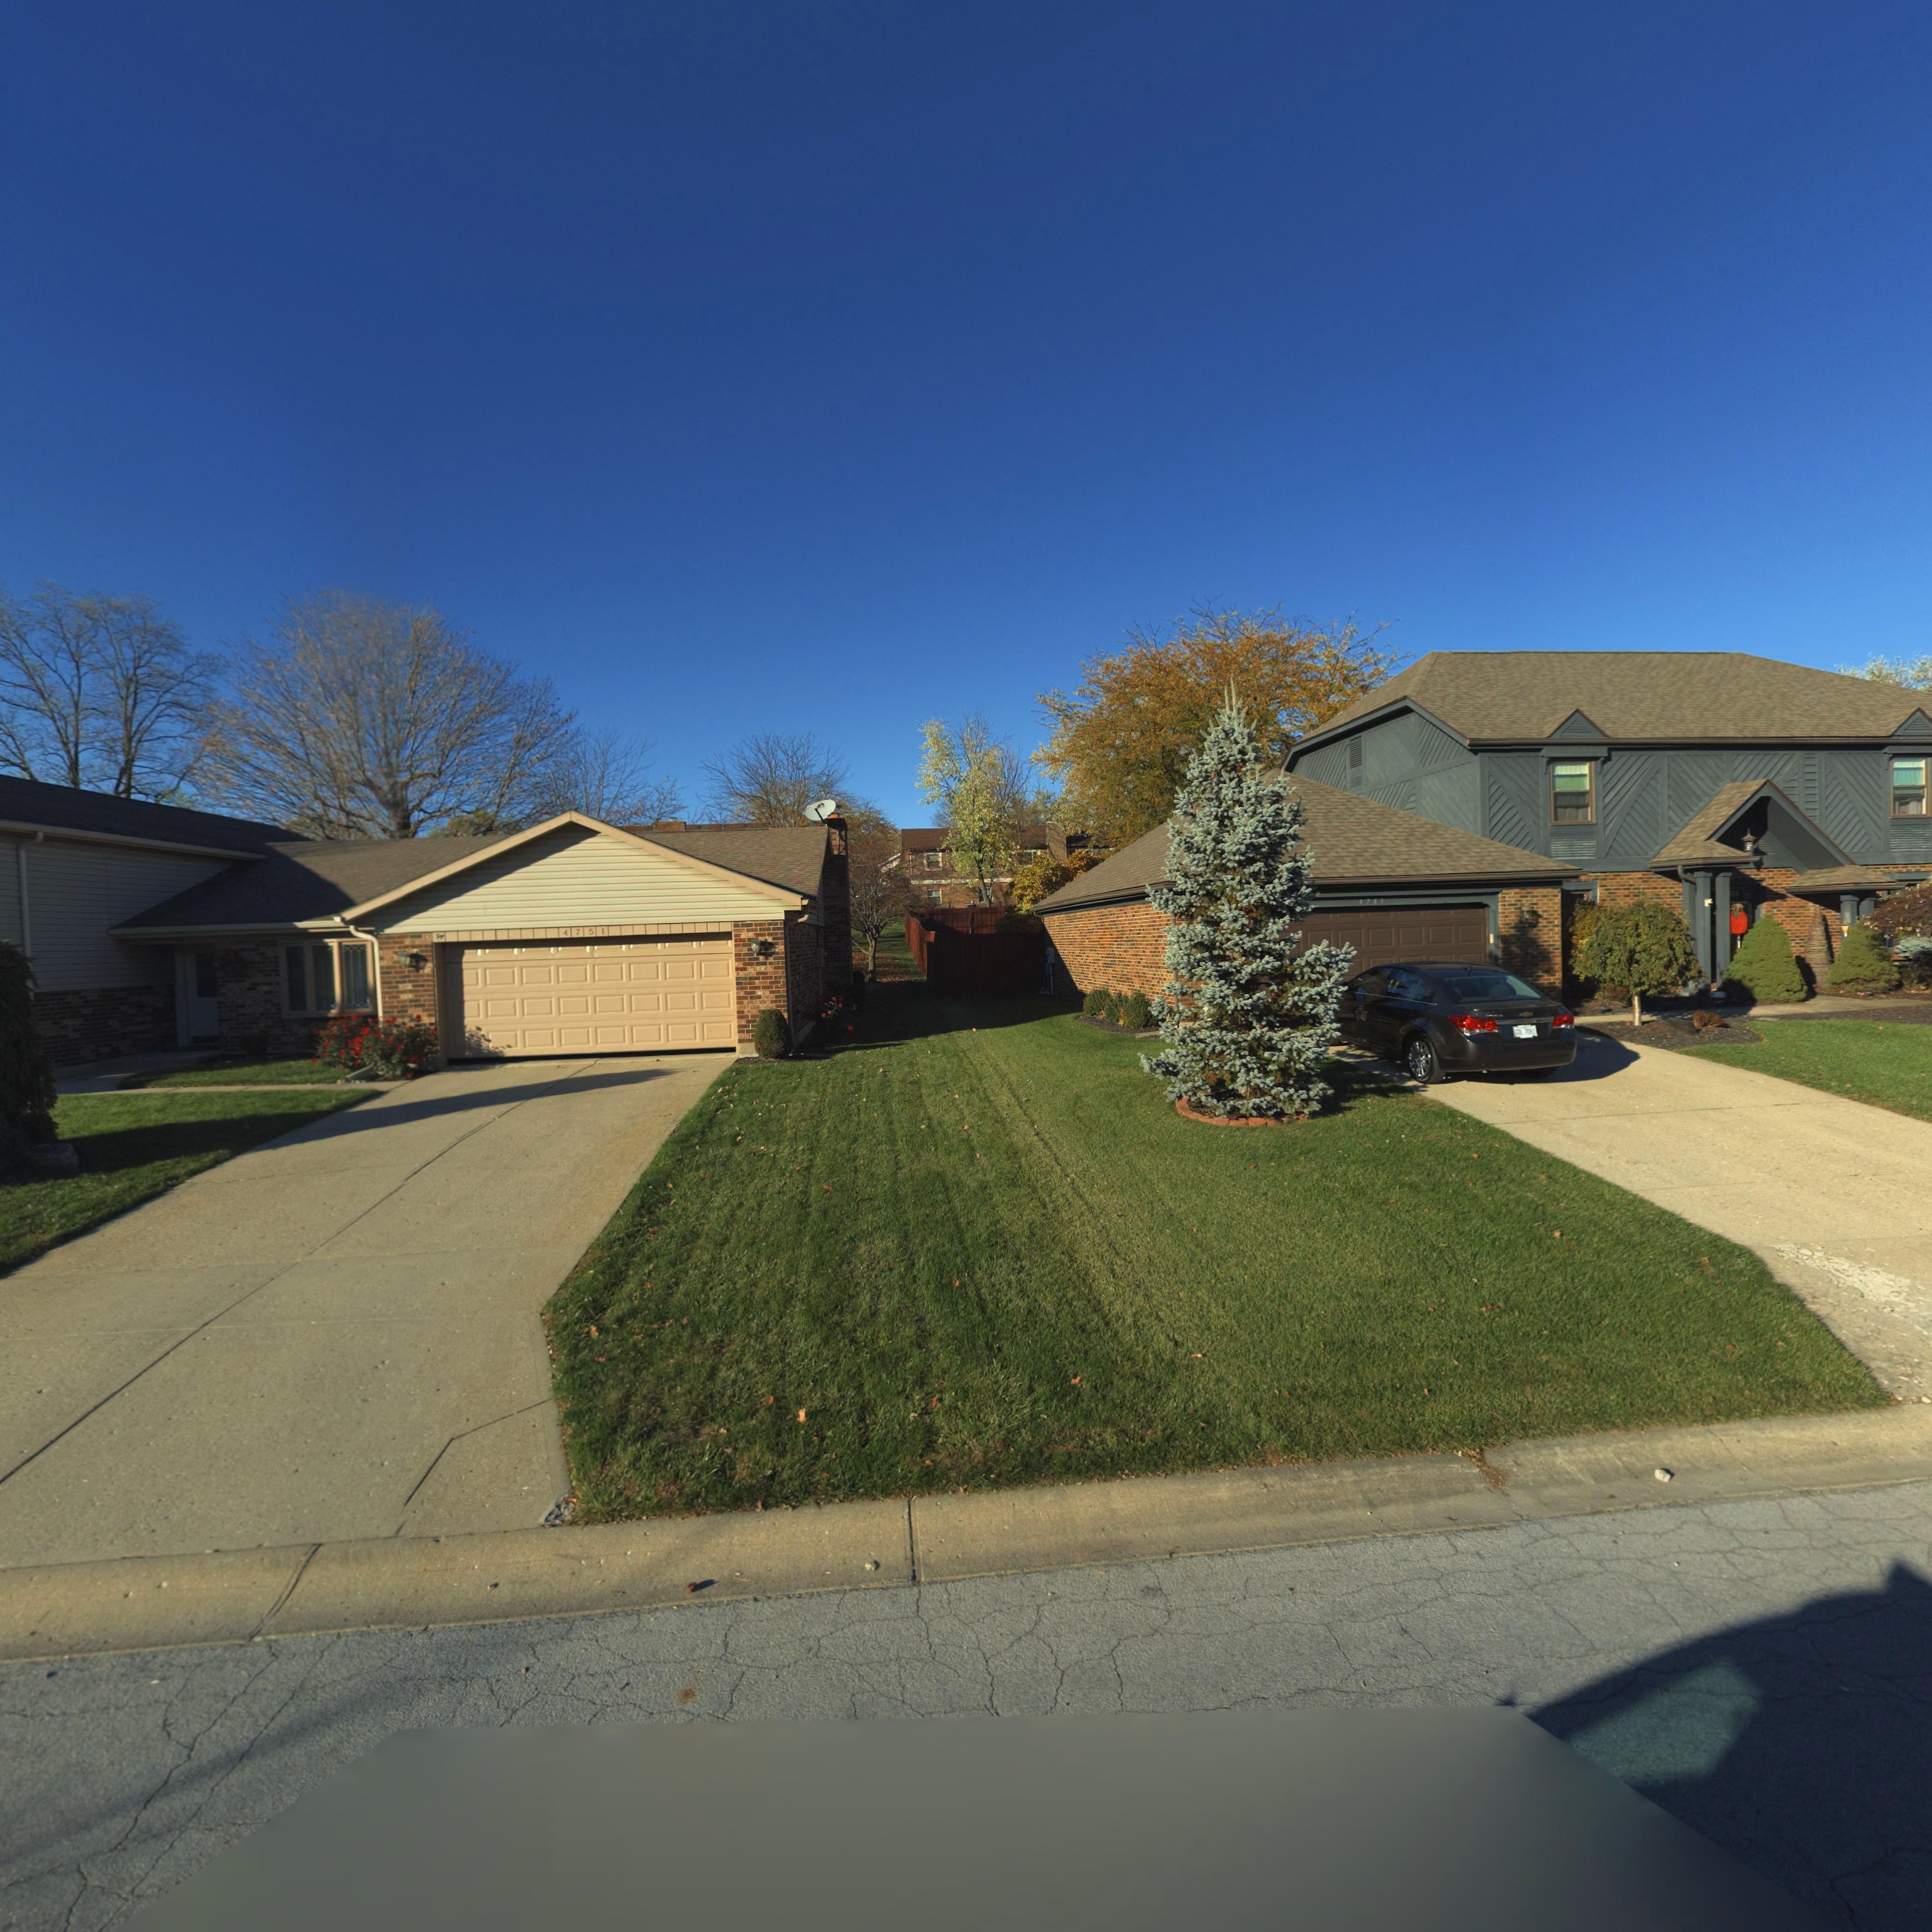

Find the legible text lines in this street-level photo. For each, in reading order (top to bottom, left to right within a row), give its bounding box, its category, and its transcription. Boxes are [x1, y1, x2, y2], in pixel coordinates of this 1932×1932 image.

[1358, 897, 1384, 907] StreetNumber: 4741
[562, 927, 605, 937] StreetNumber: 4751